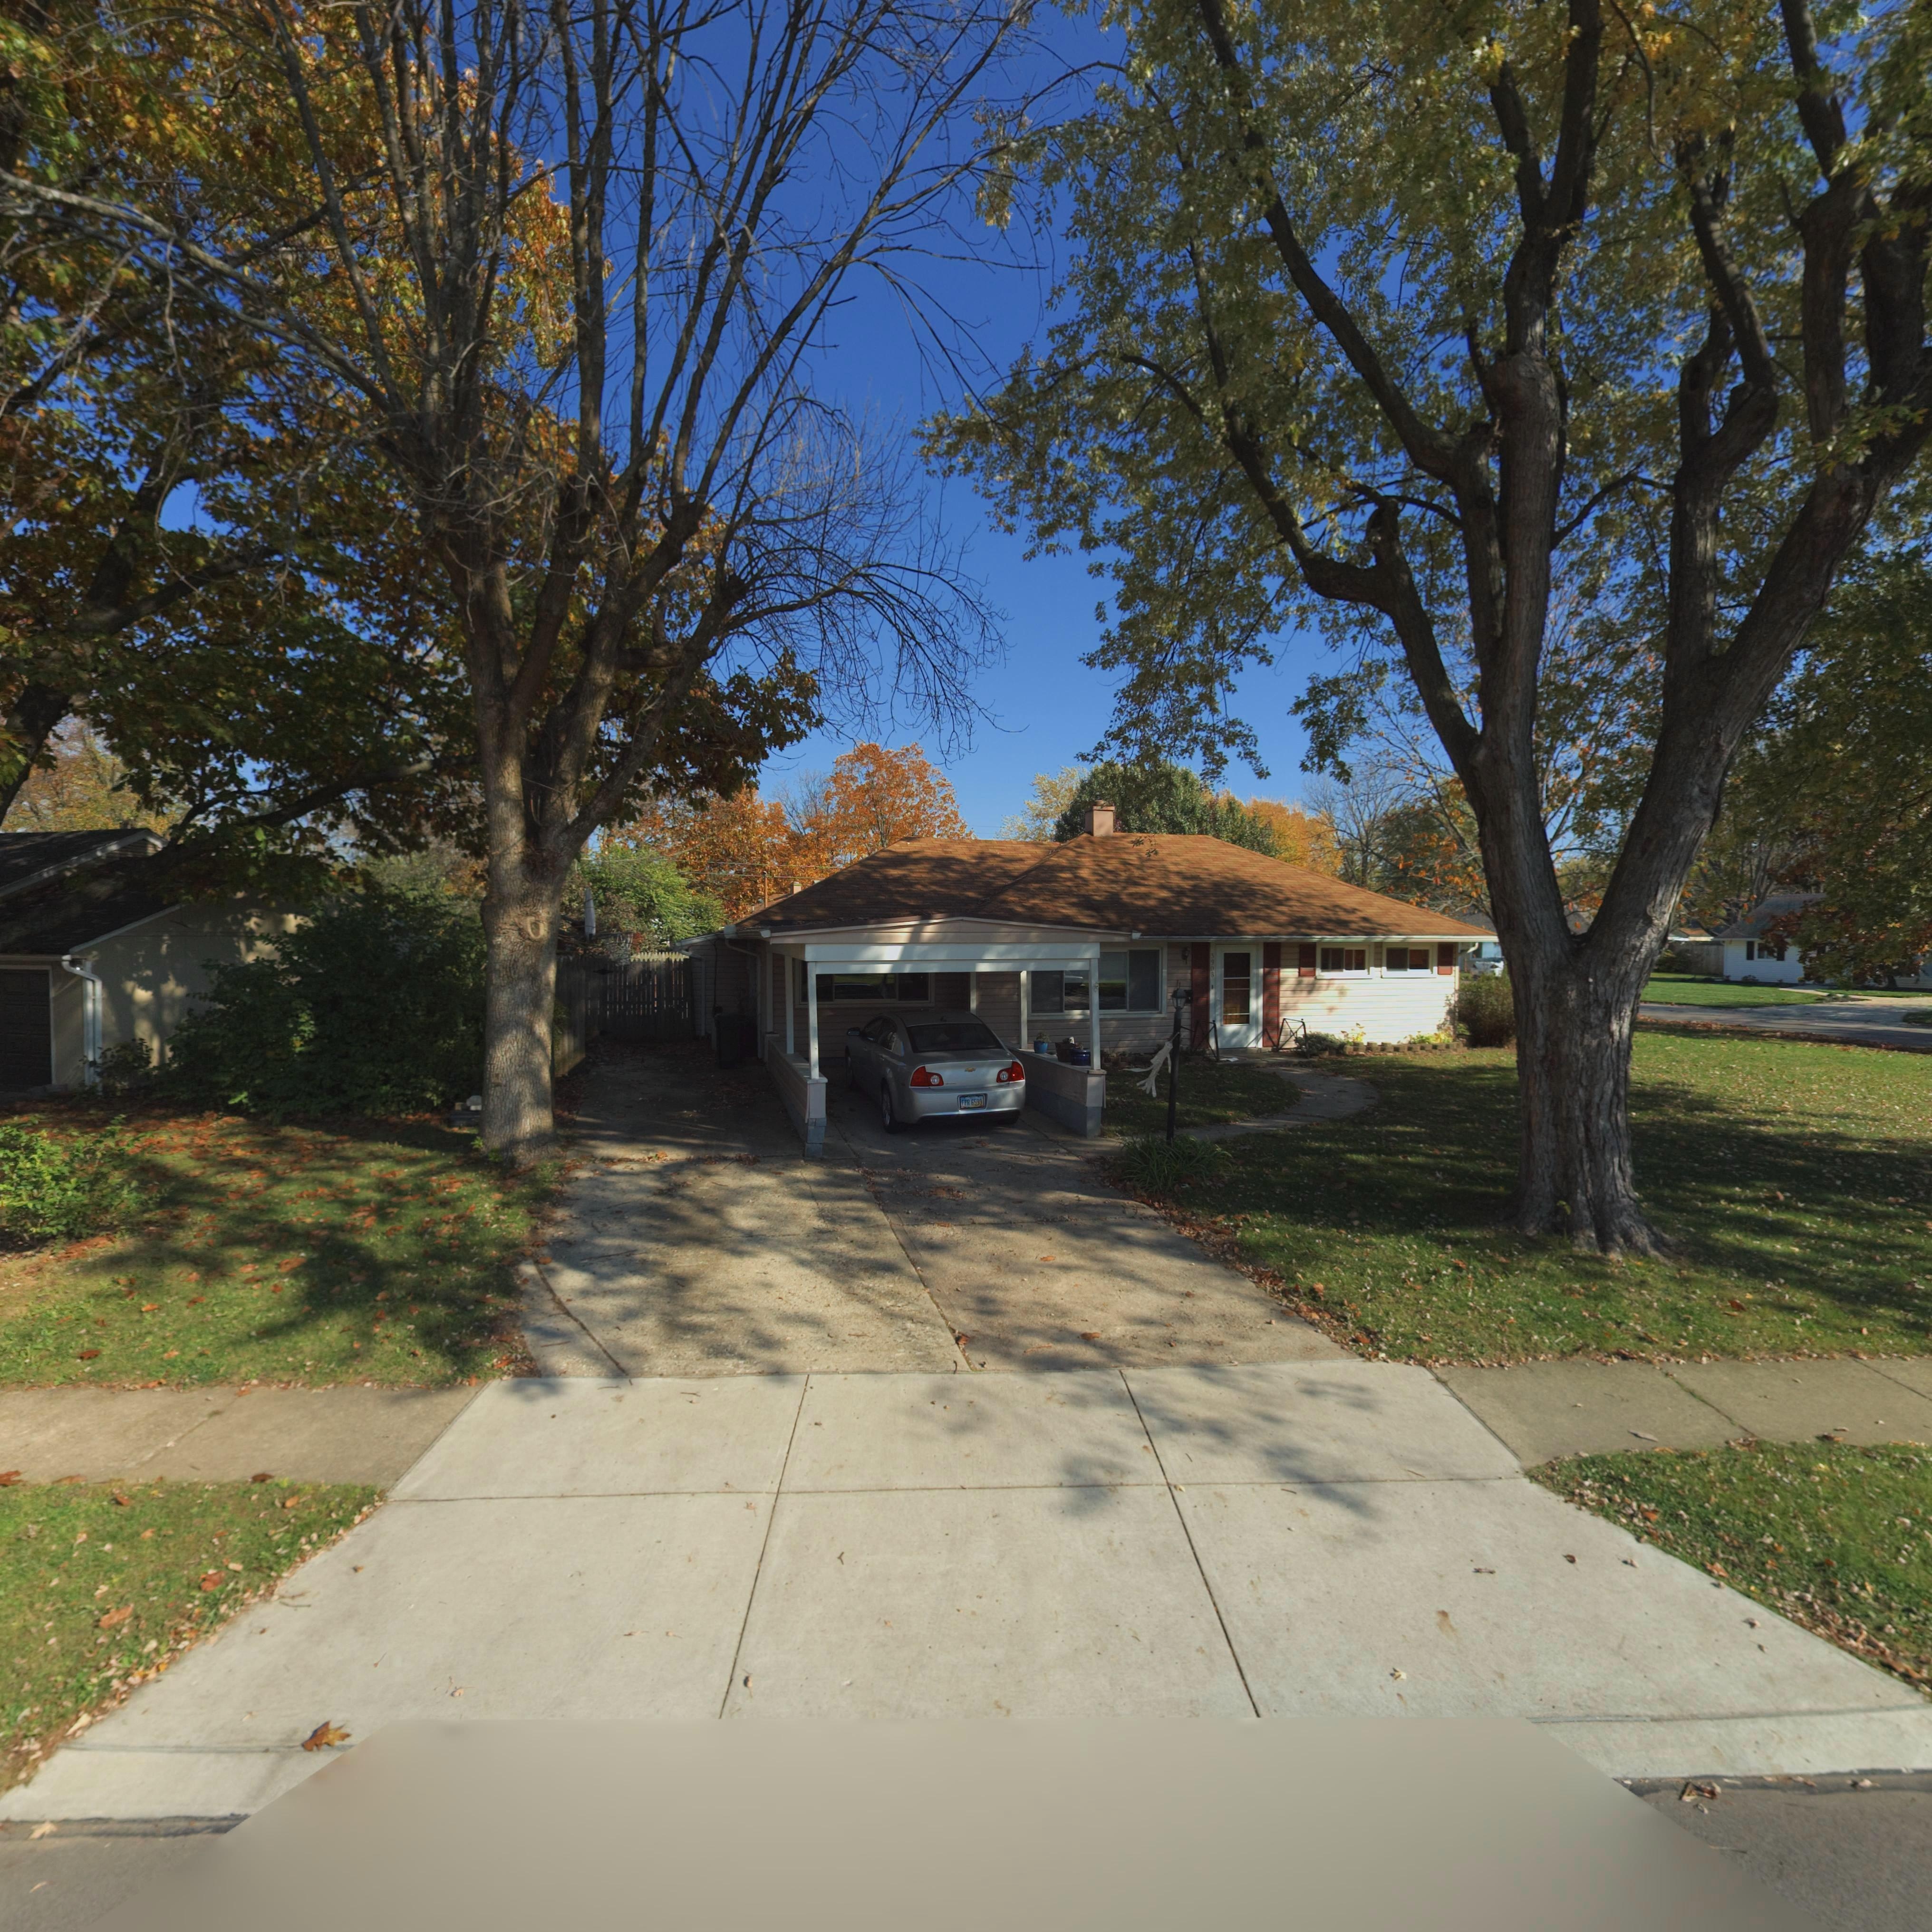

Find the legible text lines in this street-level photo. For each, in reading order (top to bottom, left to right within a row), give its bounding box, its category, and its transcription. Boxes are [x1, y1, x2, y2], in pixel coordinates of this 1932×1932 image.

[1209, 952, 1215, 978] StreetNumber: 3908
[961, 1098, 983, 1107] None: FPR 6599